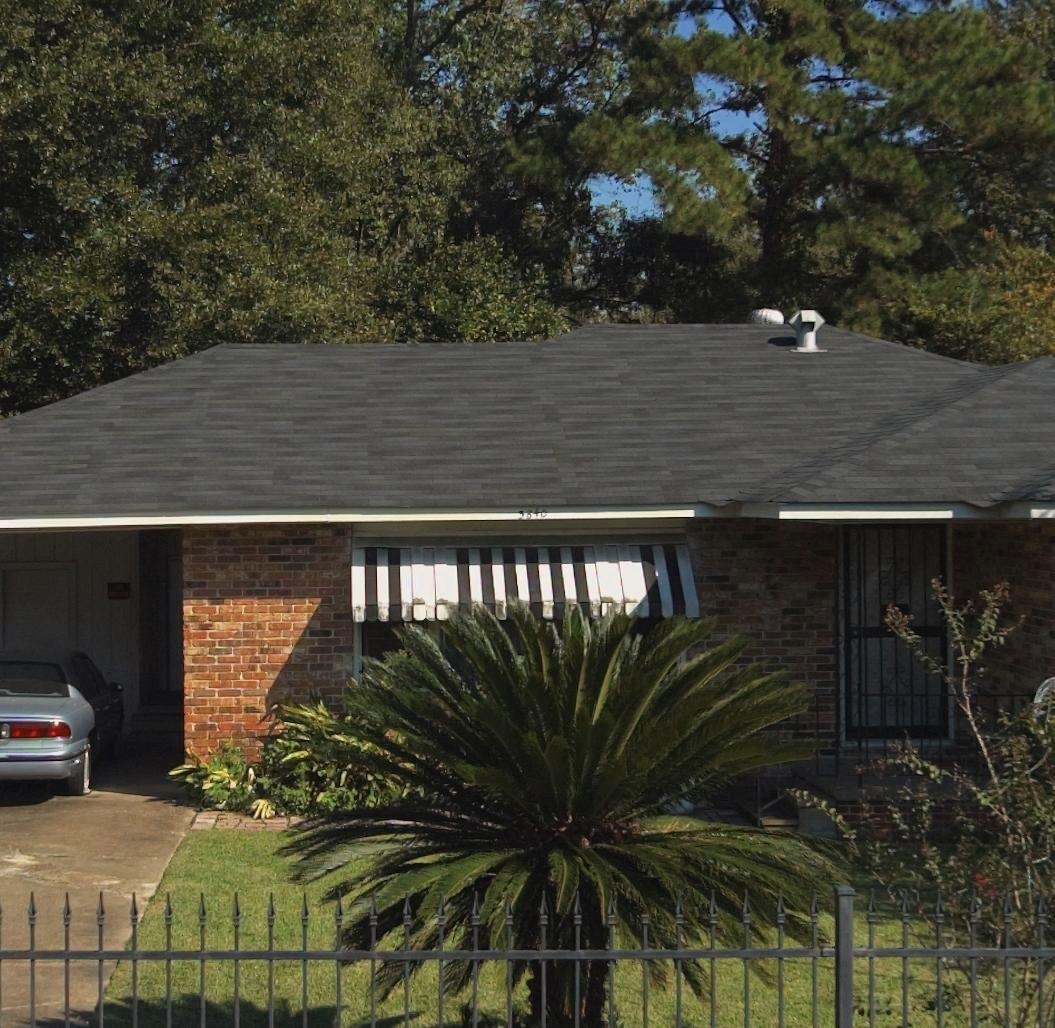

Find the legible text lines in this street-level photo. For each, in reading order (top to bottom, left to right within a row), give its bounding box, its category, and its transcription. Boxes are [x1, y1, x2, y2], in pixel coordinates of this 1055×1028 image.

[517, 507, 548, 521] StreetNumber: 3840